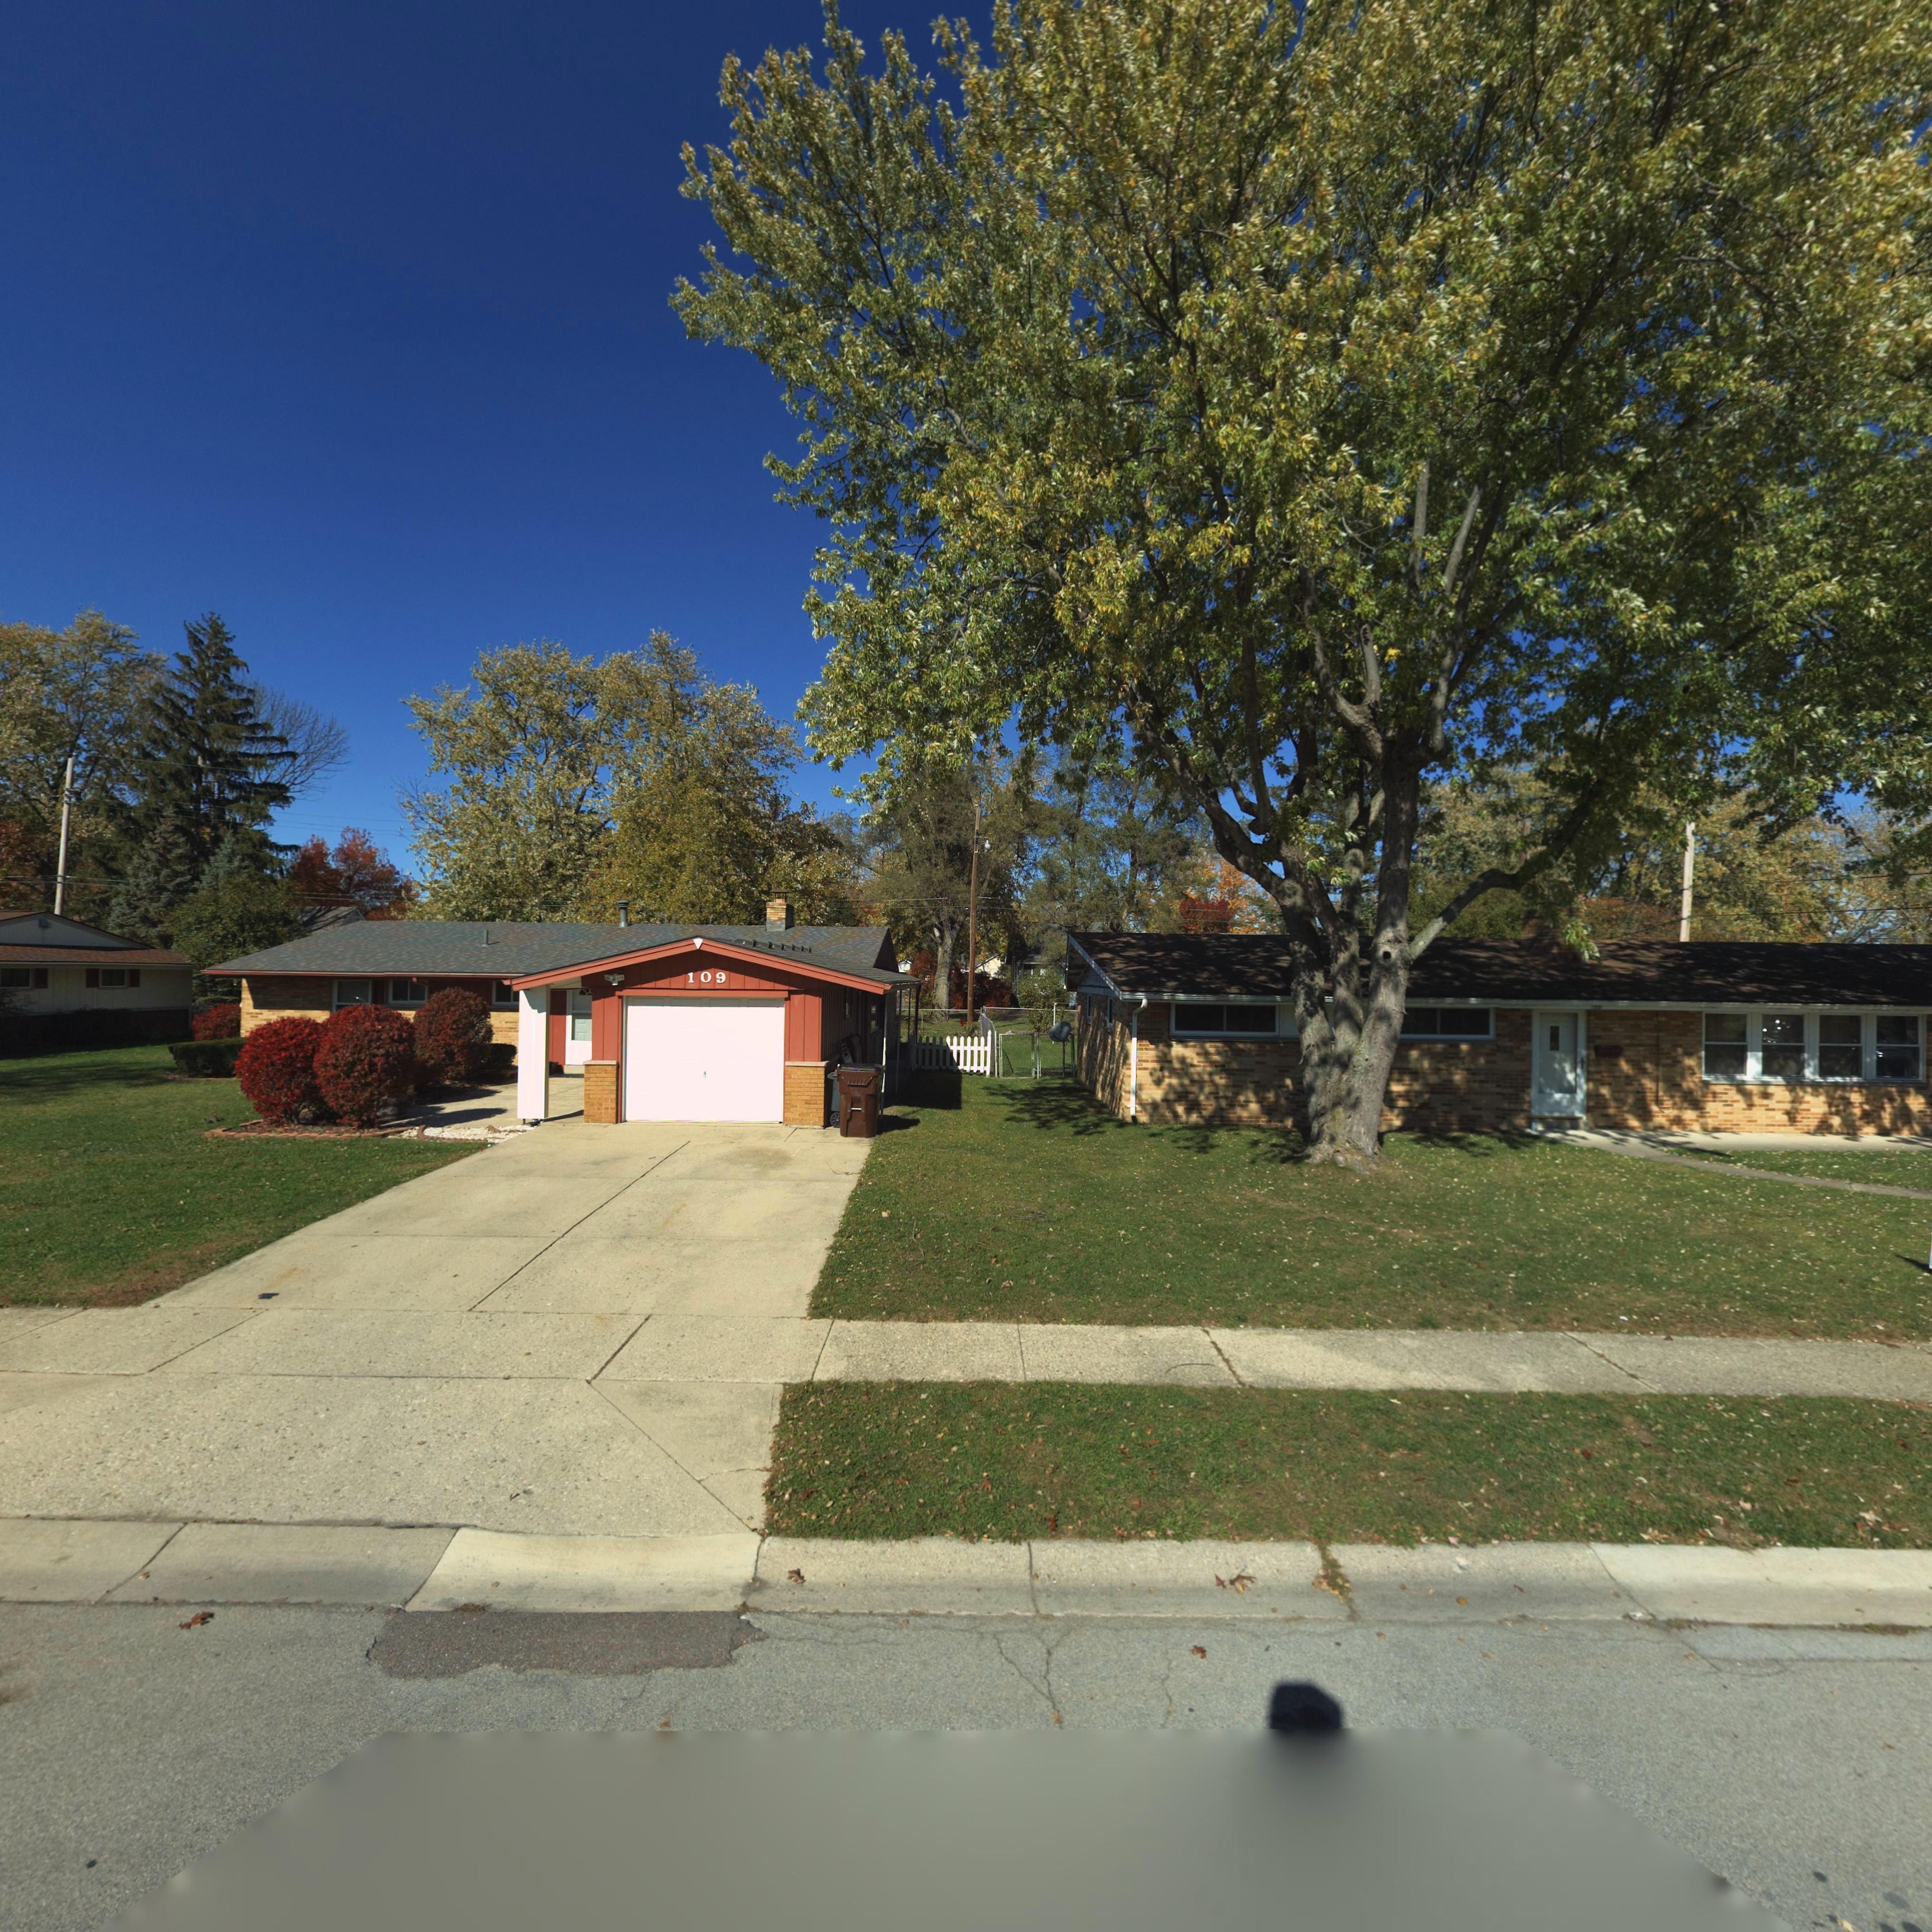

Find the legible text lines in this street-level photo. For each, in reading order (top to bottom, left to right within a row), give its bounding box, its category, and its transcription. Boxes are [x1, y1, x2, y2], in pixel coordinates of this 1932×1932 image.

[687, 971, 727, 985] StreetNumber: 109